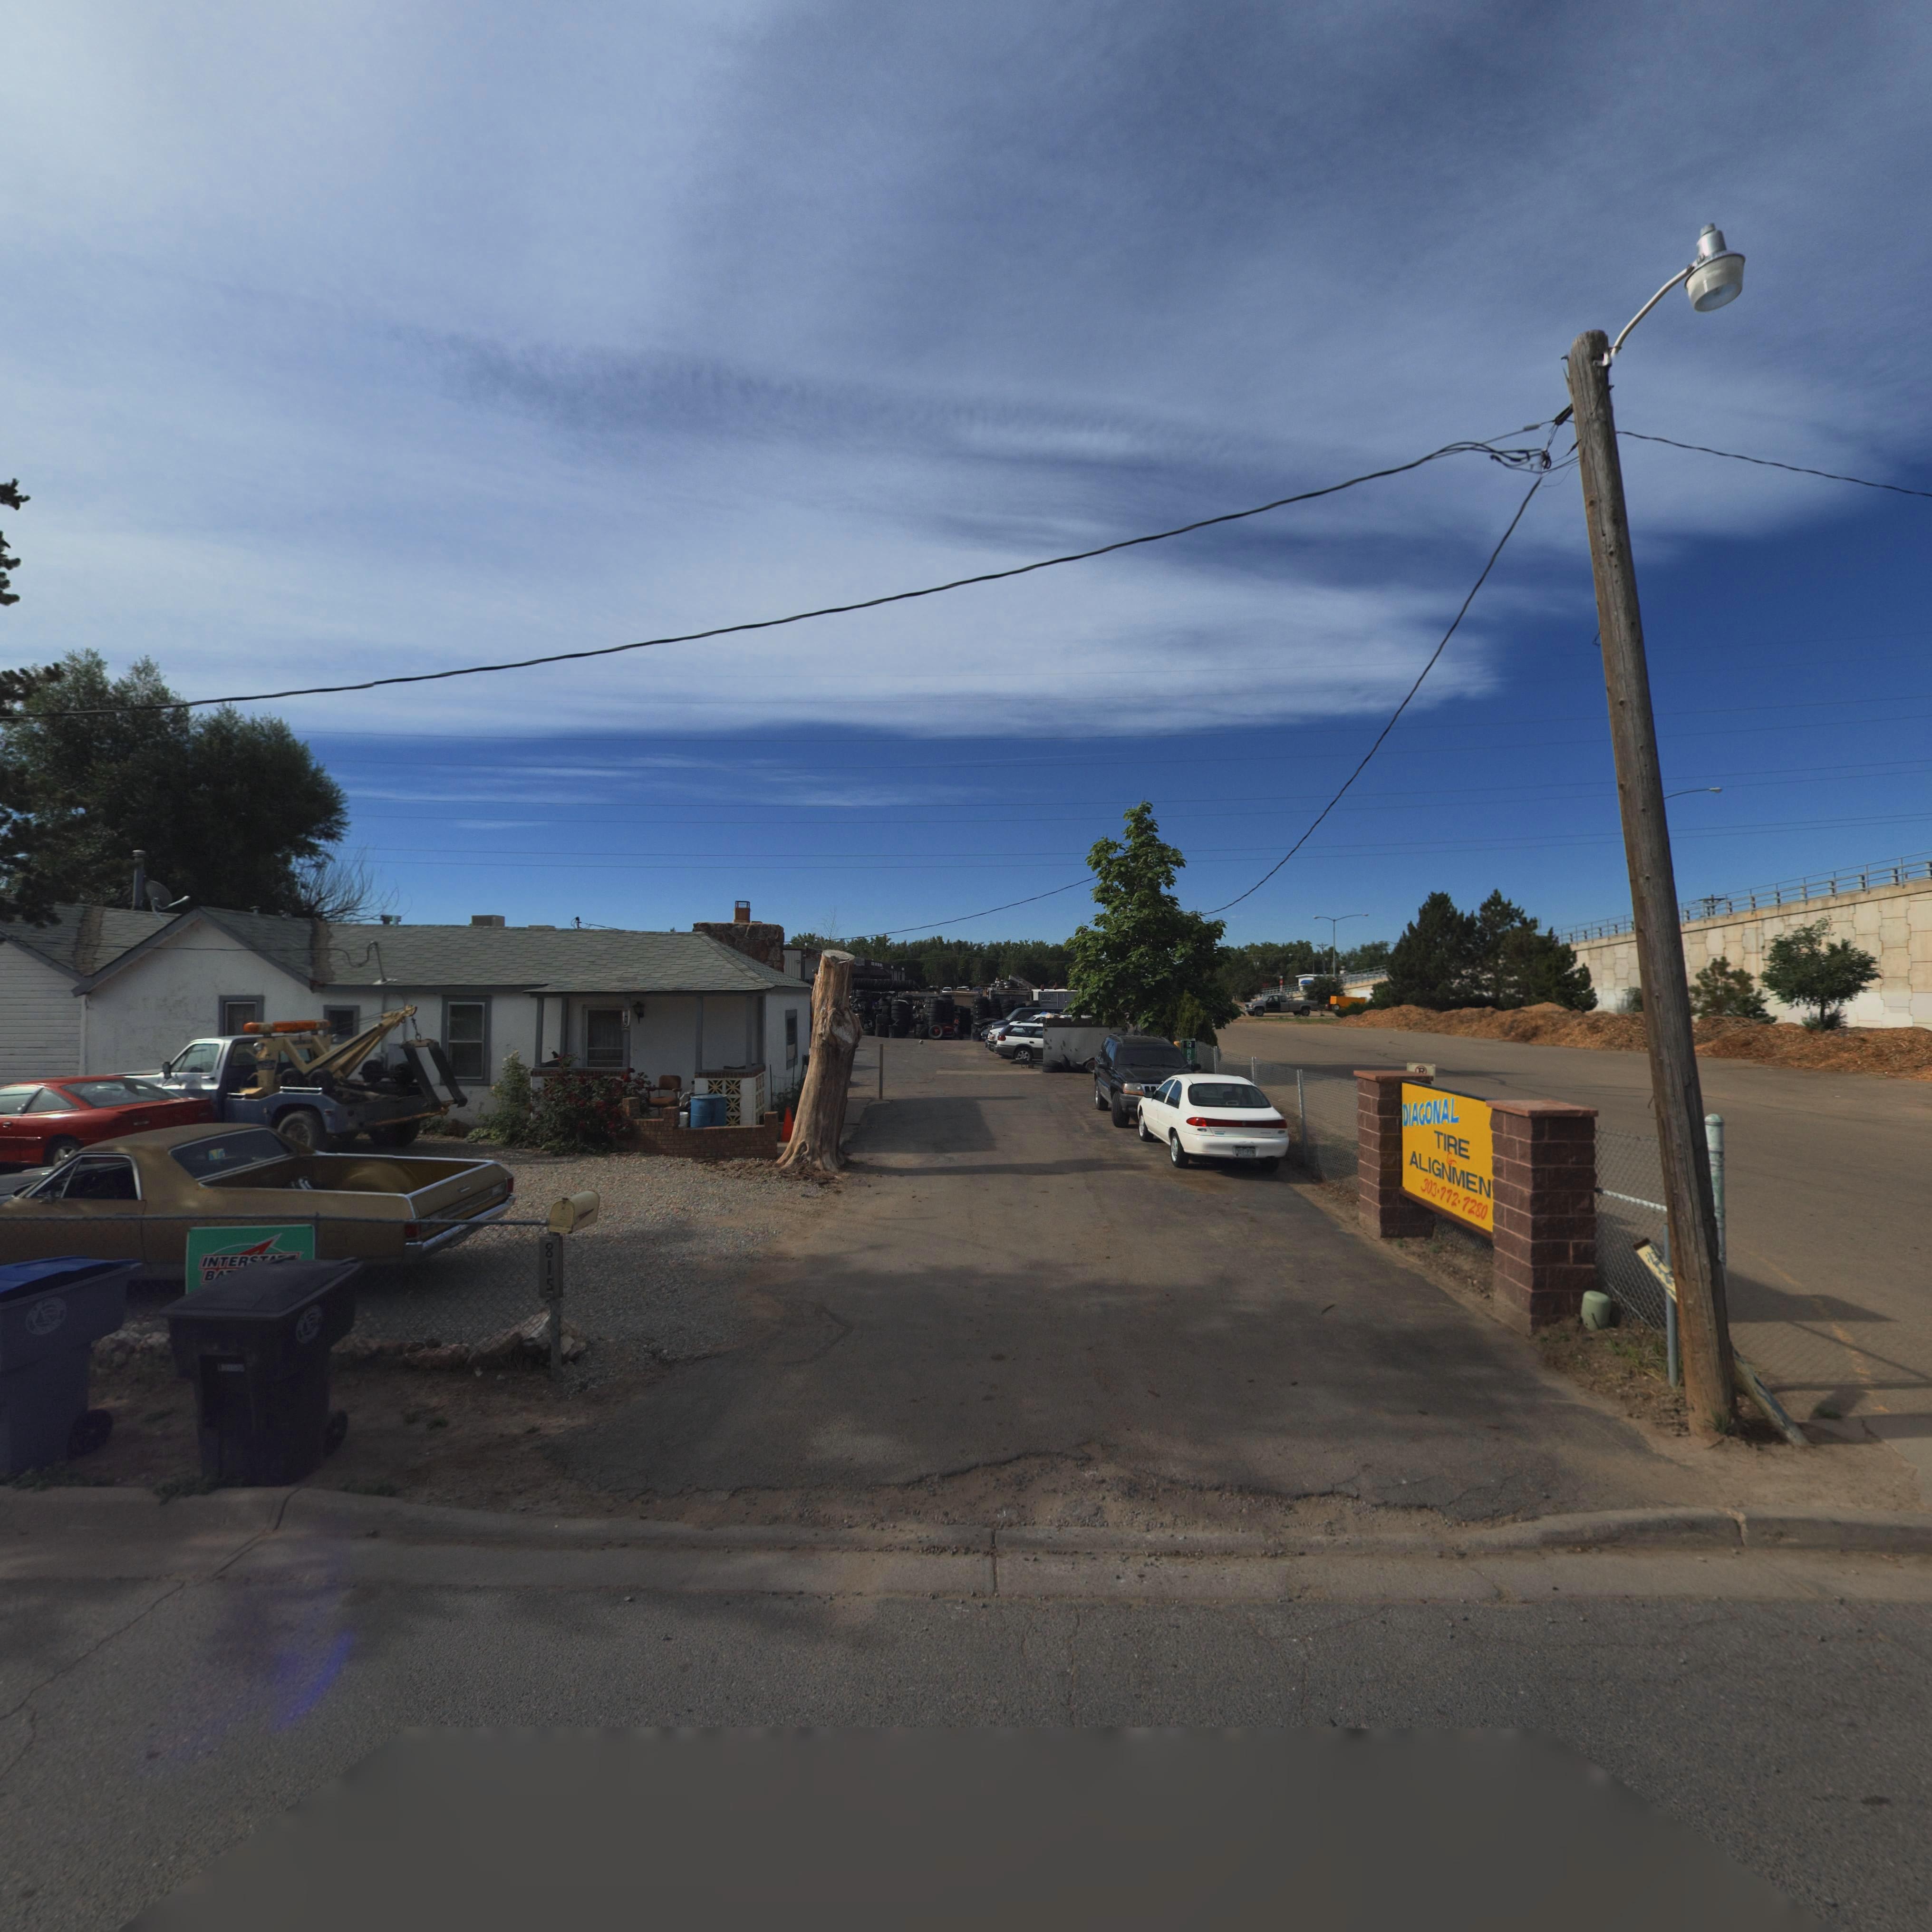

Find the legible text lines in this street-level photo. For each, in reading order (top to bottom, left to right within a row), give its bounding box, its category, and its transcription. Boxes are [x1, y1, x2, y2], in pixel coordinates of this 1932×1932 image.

[624, 1010, 628, 1028] StreetNumber: 815
[1401, 1096, 1461, 1128] BusinessName: DIAGONAL
[1432, 1128, 1471, 1161] BusinessName: TIRE
[1410, 1150, 1490, 1198] BusinessName: ALIGNMEN
[542, 1241, 555, 1292] StreetNumber: 815